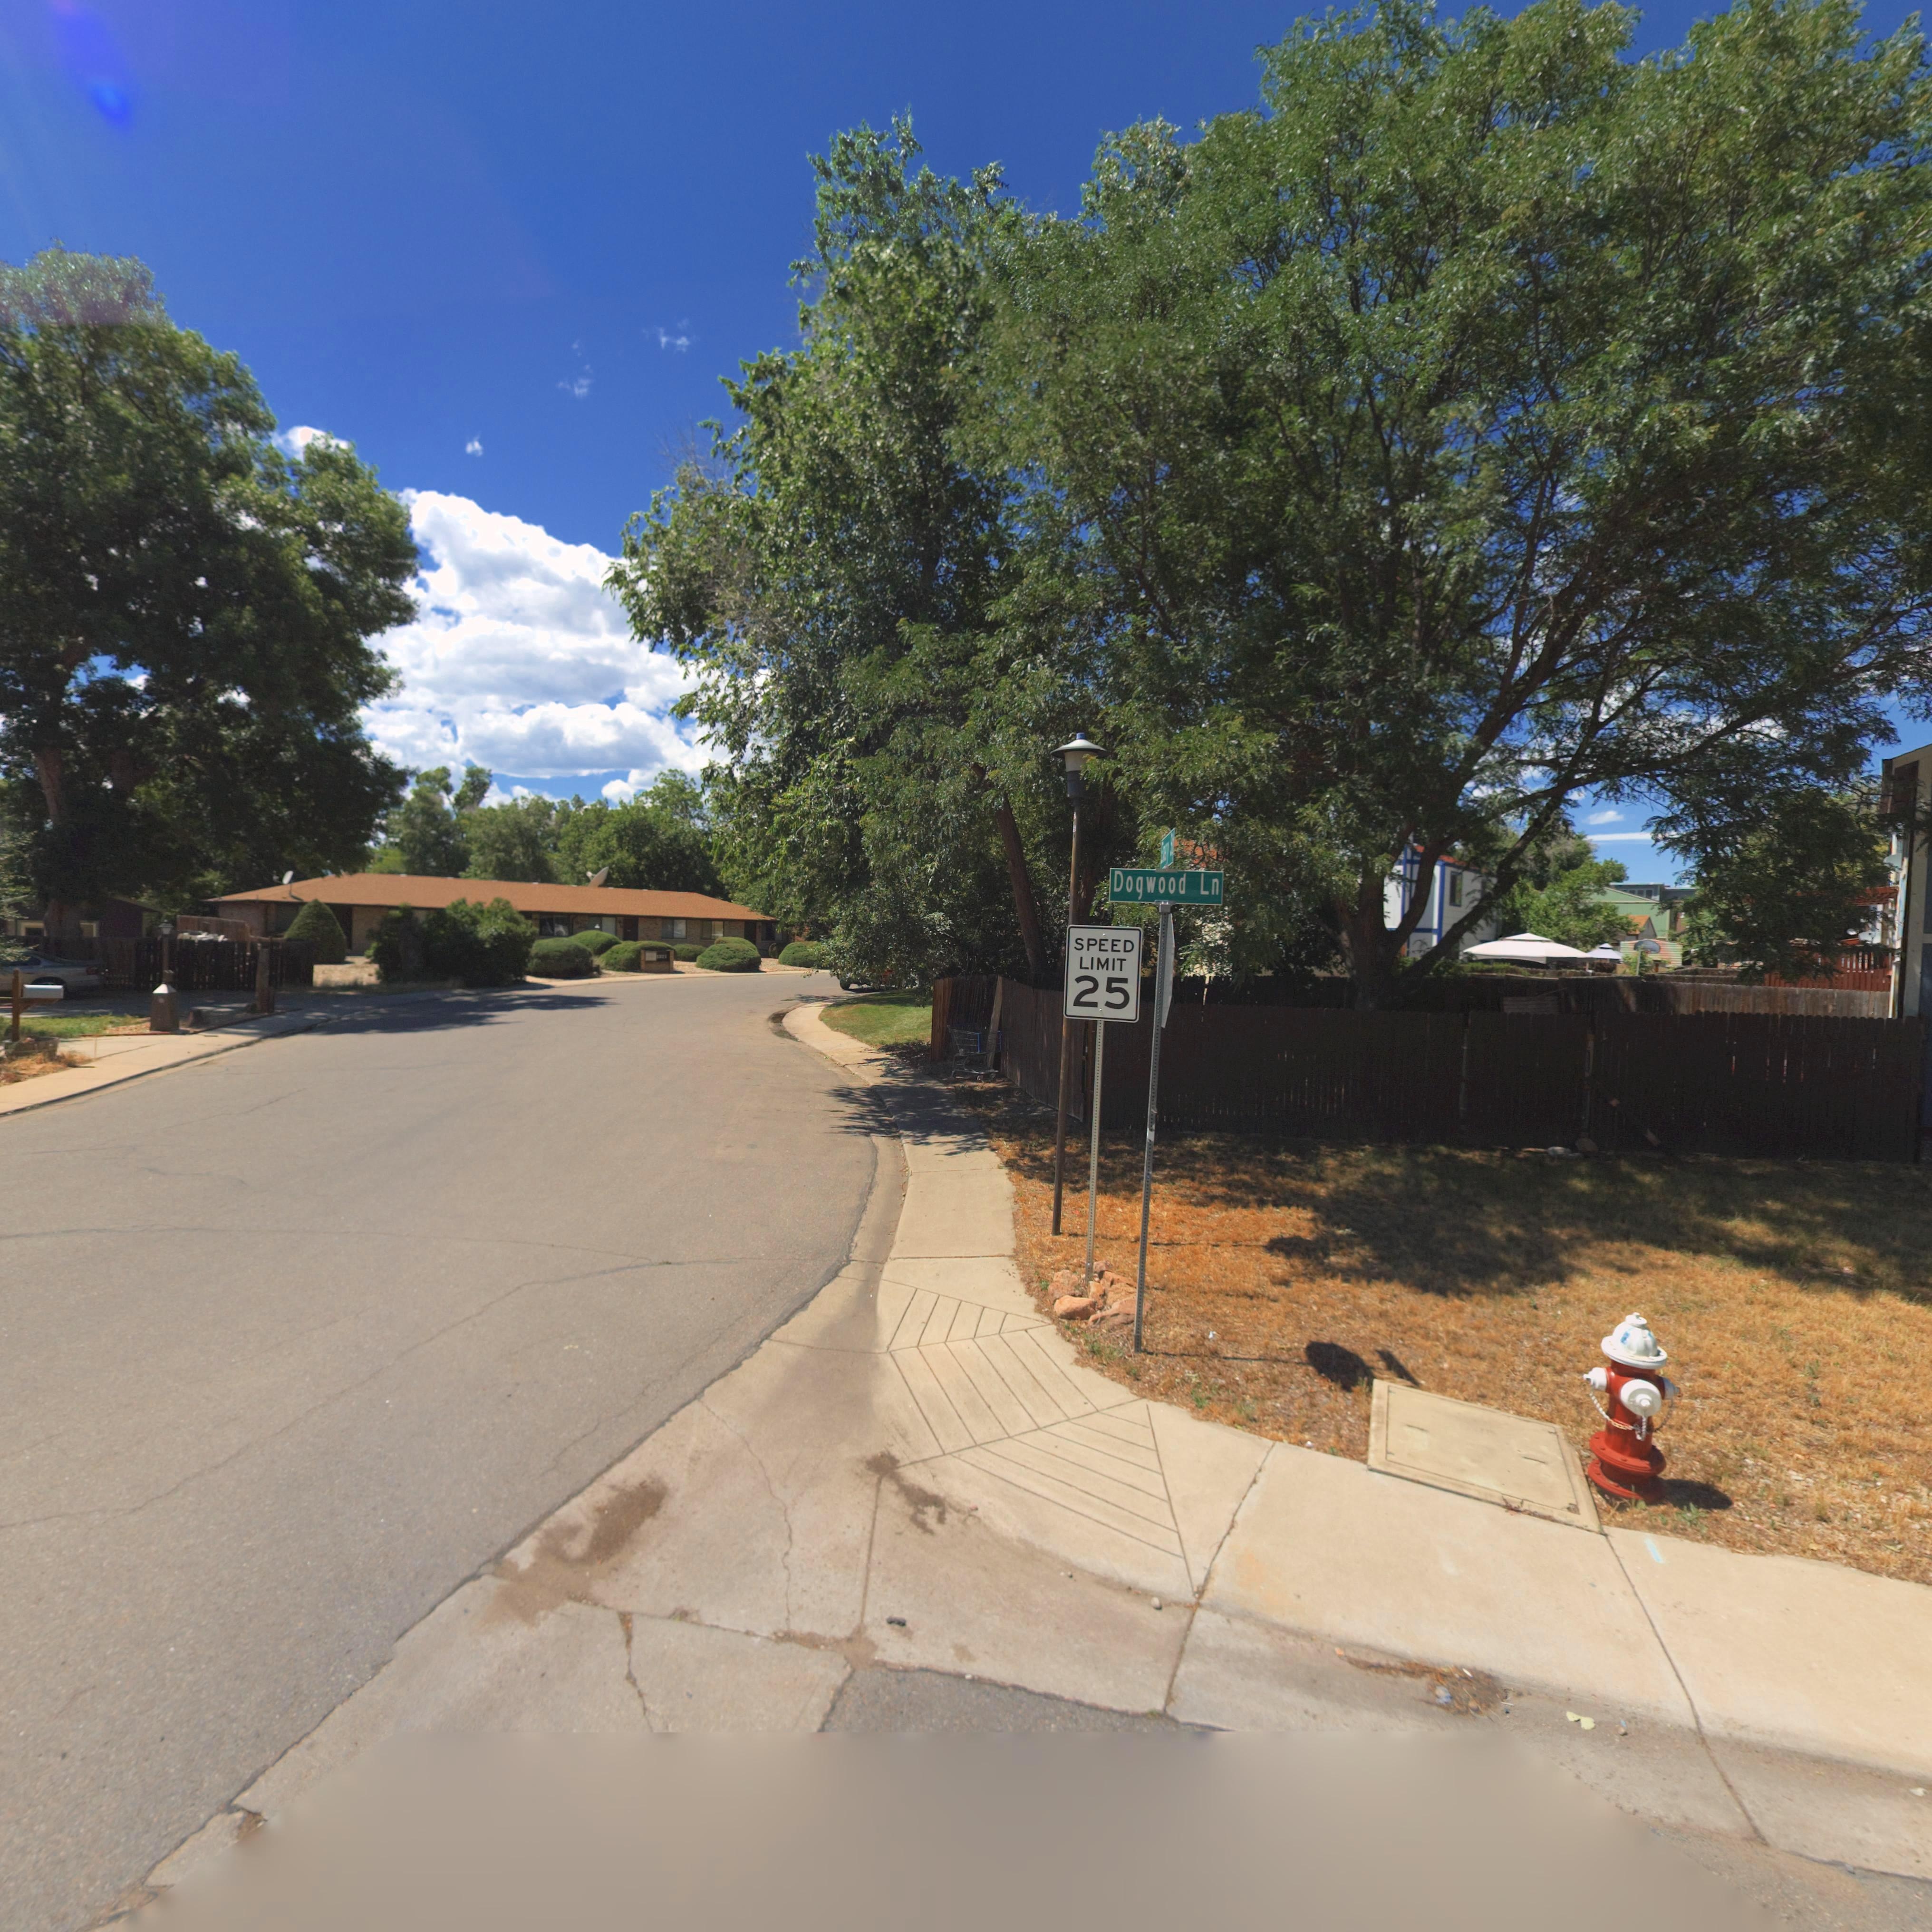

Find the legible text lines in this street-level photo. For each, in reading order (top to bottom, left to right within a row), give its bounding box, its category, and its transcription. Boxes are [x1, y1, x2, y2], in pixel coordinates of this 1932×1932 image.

[1160, 831, 1174, 865] StreetName: E***y S*
[1113, 869, 1220, 901] StreetName: Dogwood Ln
[656, 954, 667, 959] StreetNumber: 13**